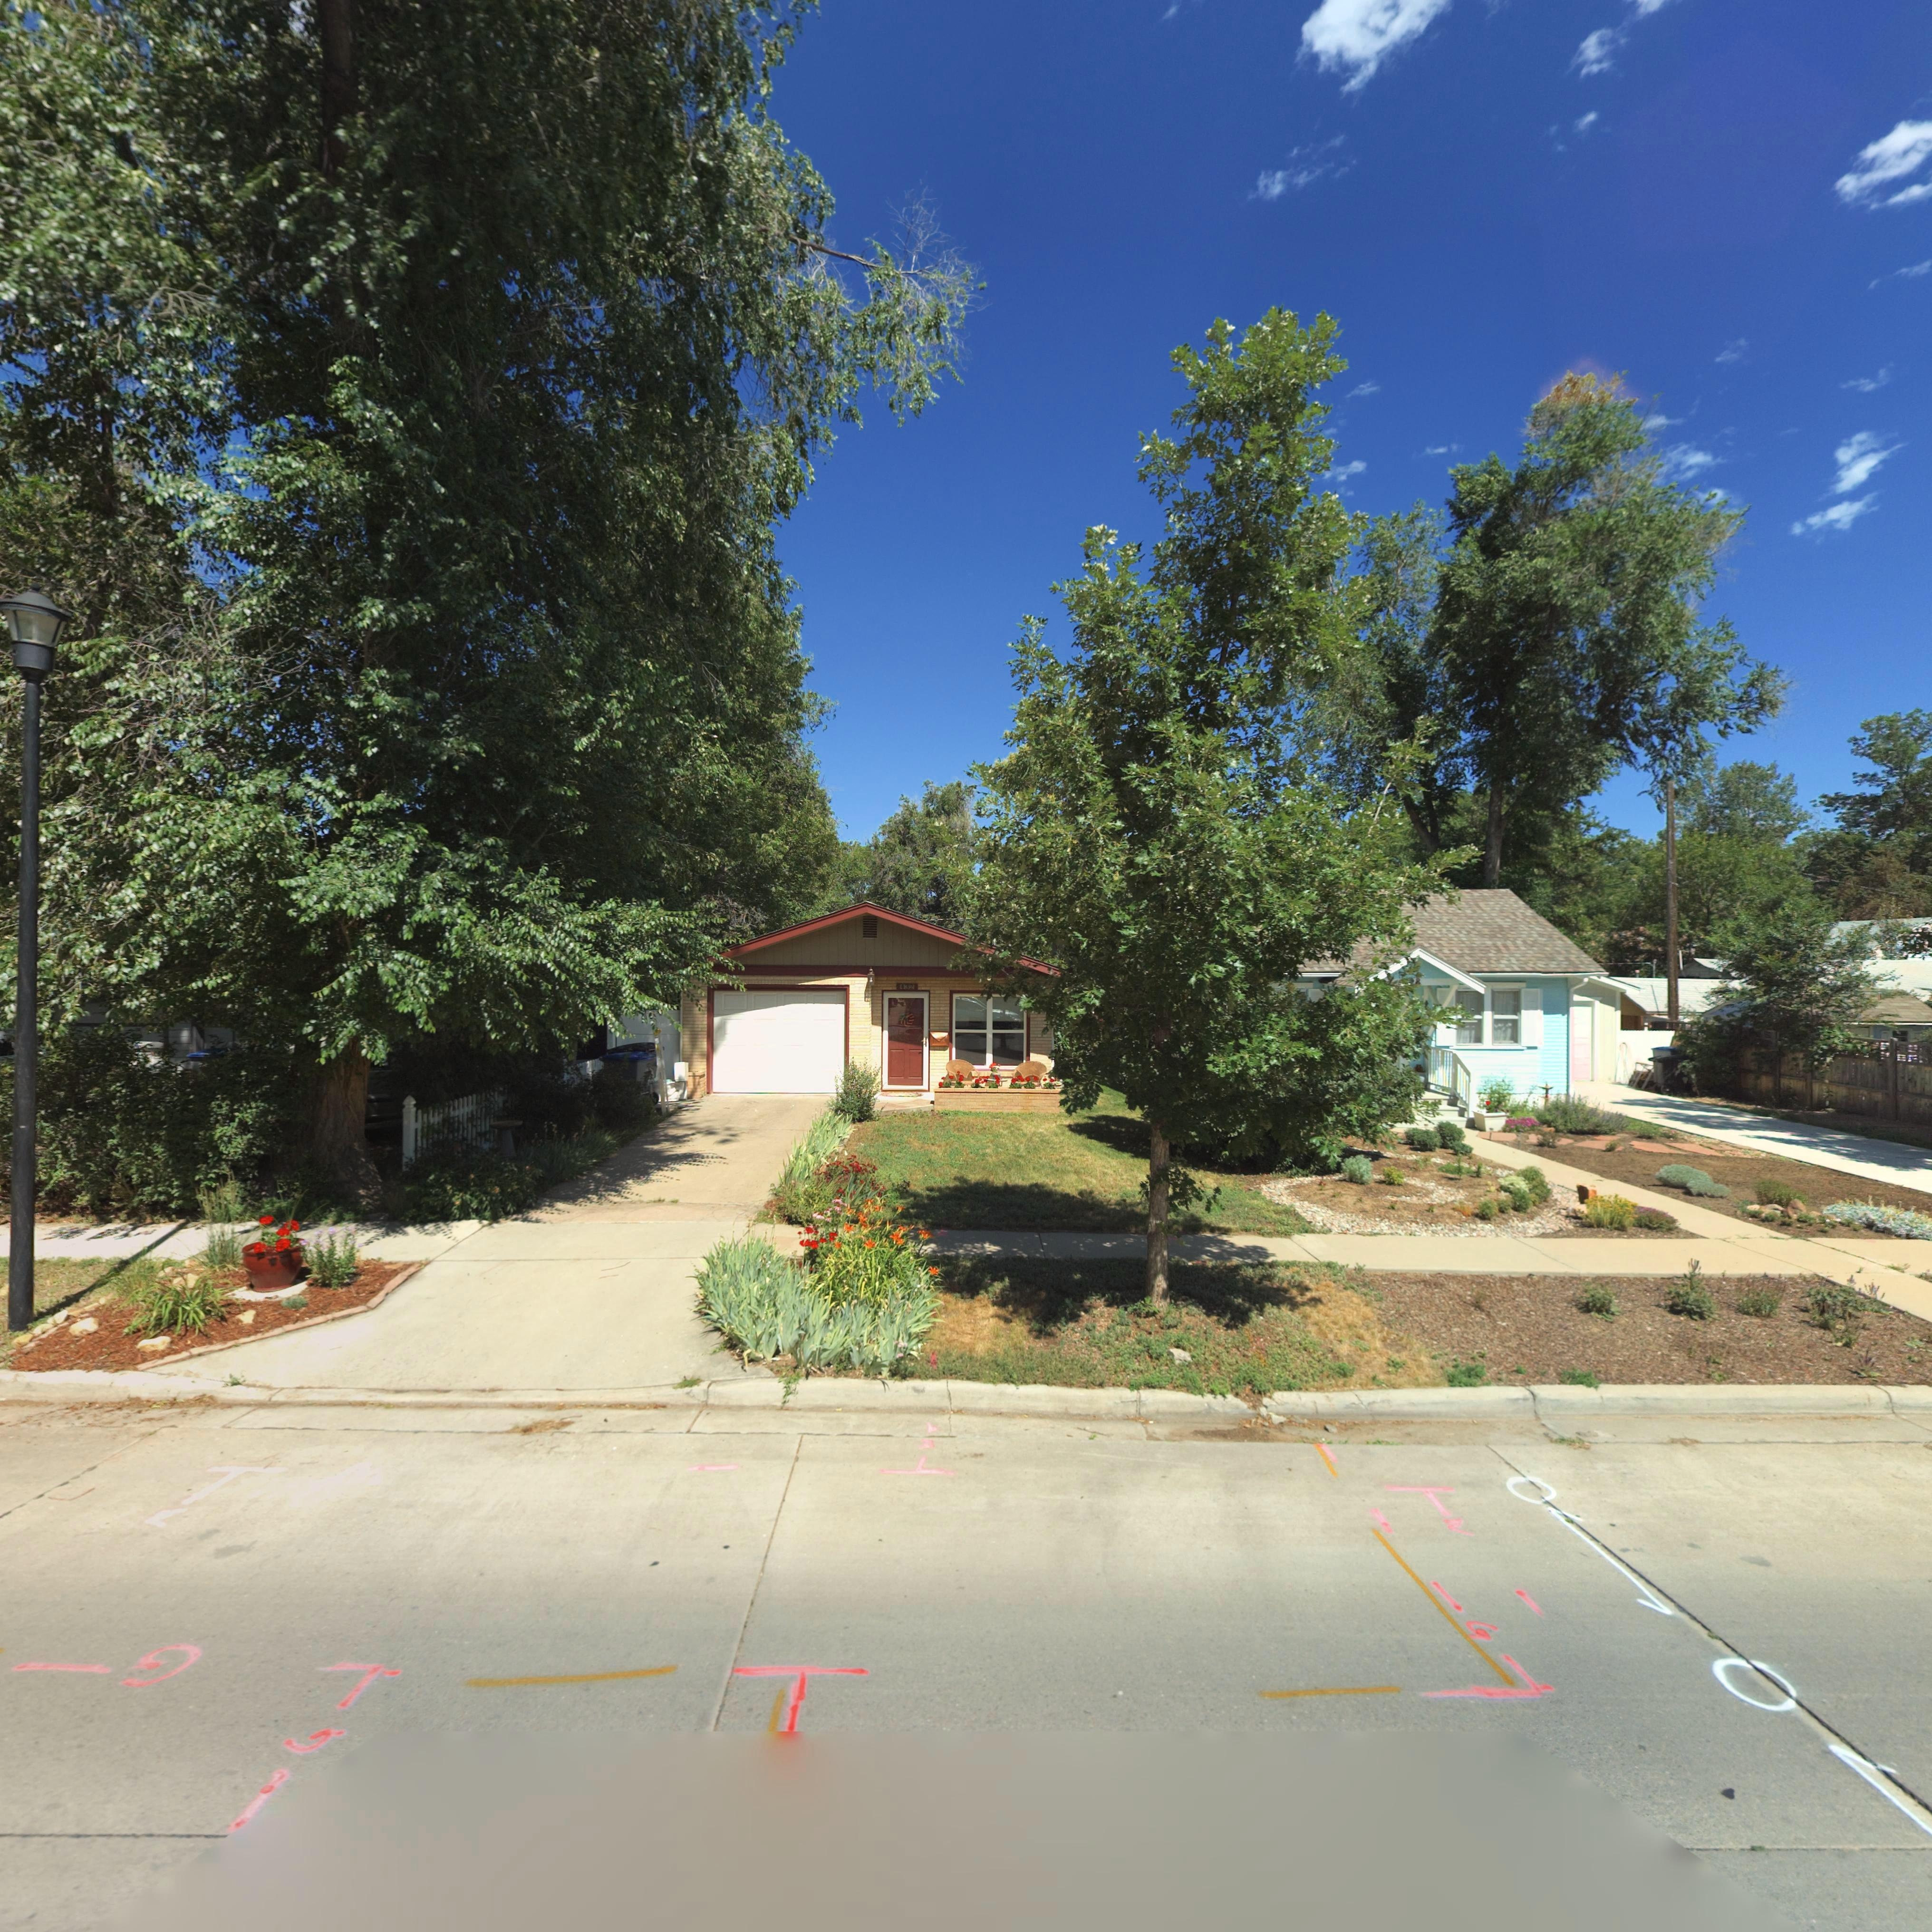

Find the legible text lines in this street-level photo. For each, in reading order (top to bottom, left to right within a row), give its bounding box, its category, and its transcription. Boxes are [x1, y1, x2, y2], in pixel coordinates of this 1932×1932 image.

[900, 984, 913, 989] StreetNumber: 432